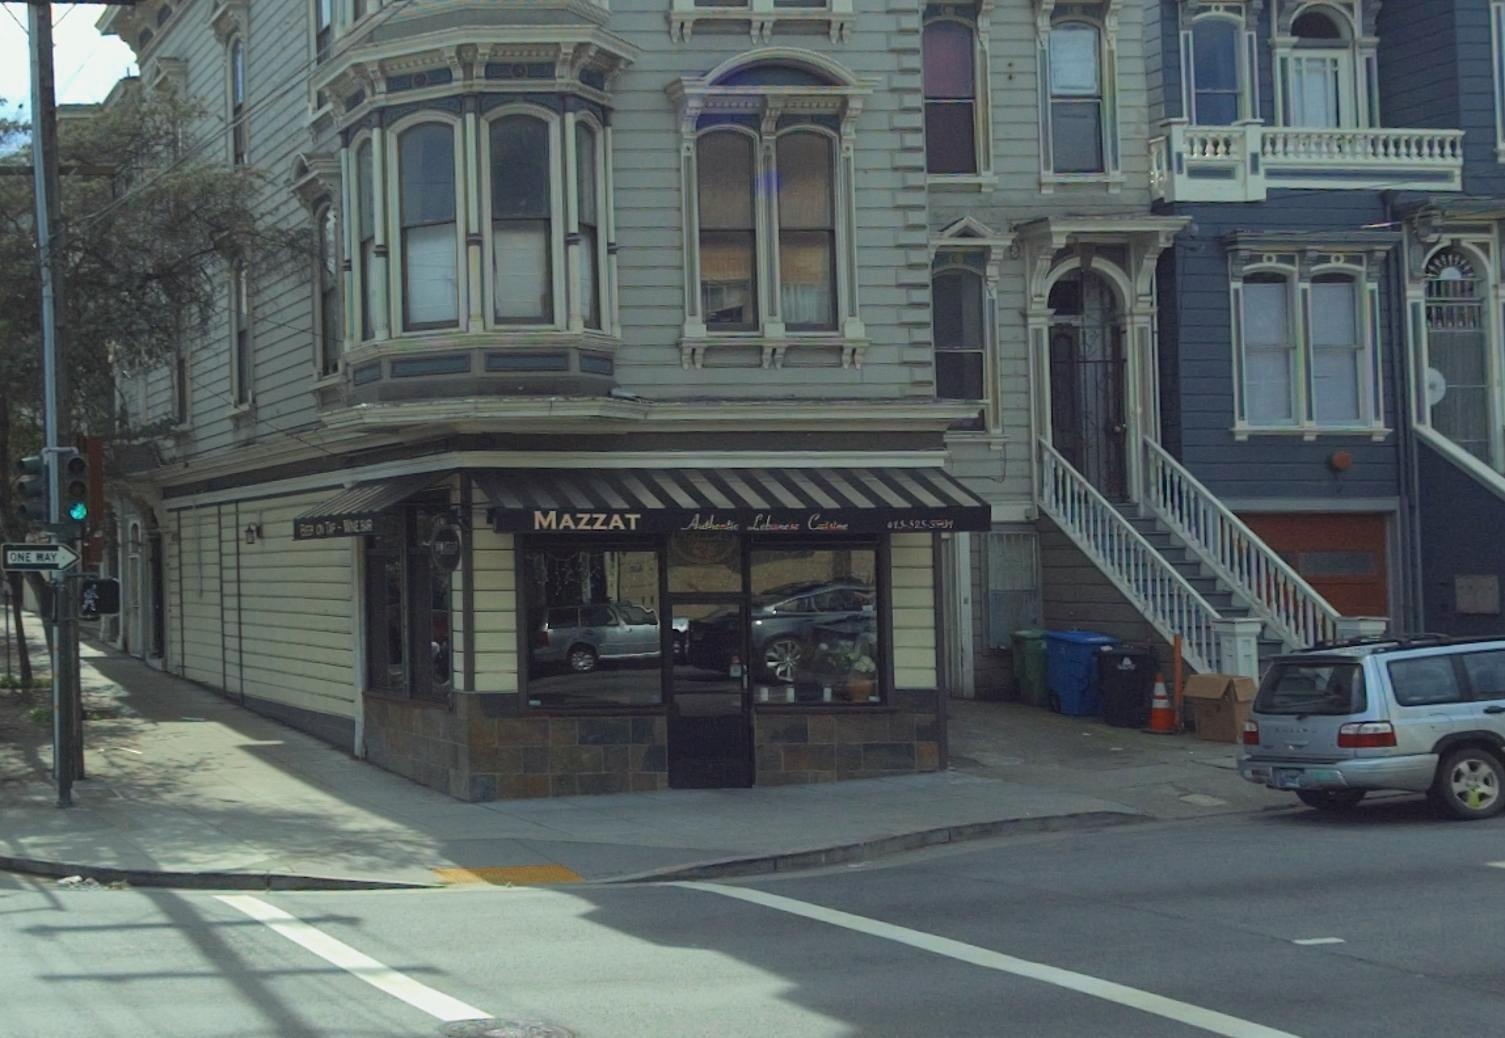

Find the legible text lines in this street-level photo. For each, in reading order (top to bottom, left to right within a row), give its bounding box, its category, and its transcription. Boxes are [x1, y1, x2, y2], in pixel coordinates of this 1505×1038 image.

[296, 517, 376, 538] None: BEER ON TAP - WINE BAR
[533, 508, 642, 532] BusinessName: MAZZAT
[676, 509, 851, 532] None: Authentic Lebanese Cuisine
[882, 517, 956, 532] None: *15-525-****
[9, 551, 59, 563] None: ONE WAY